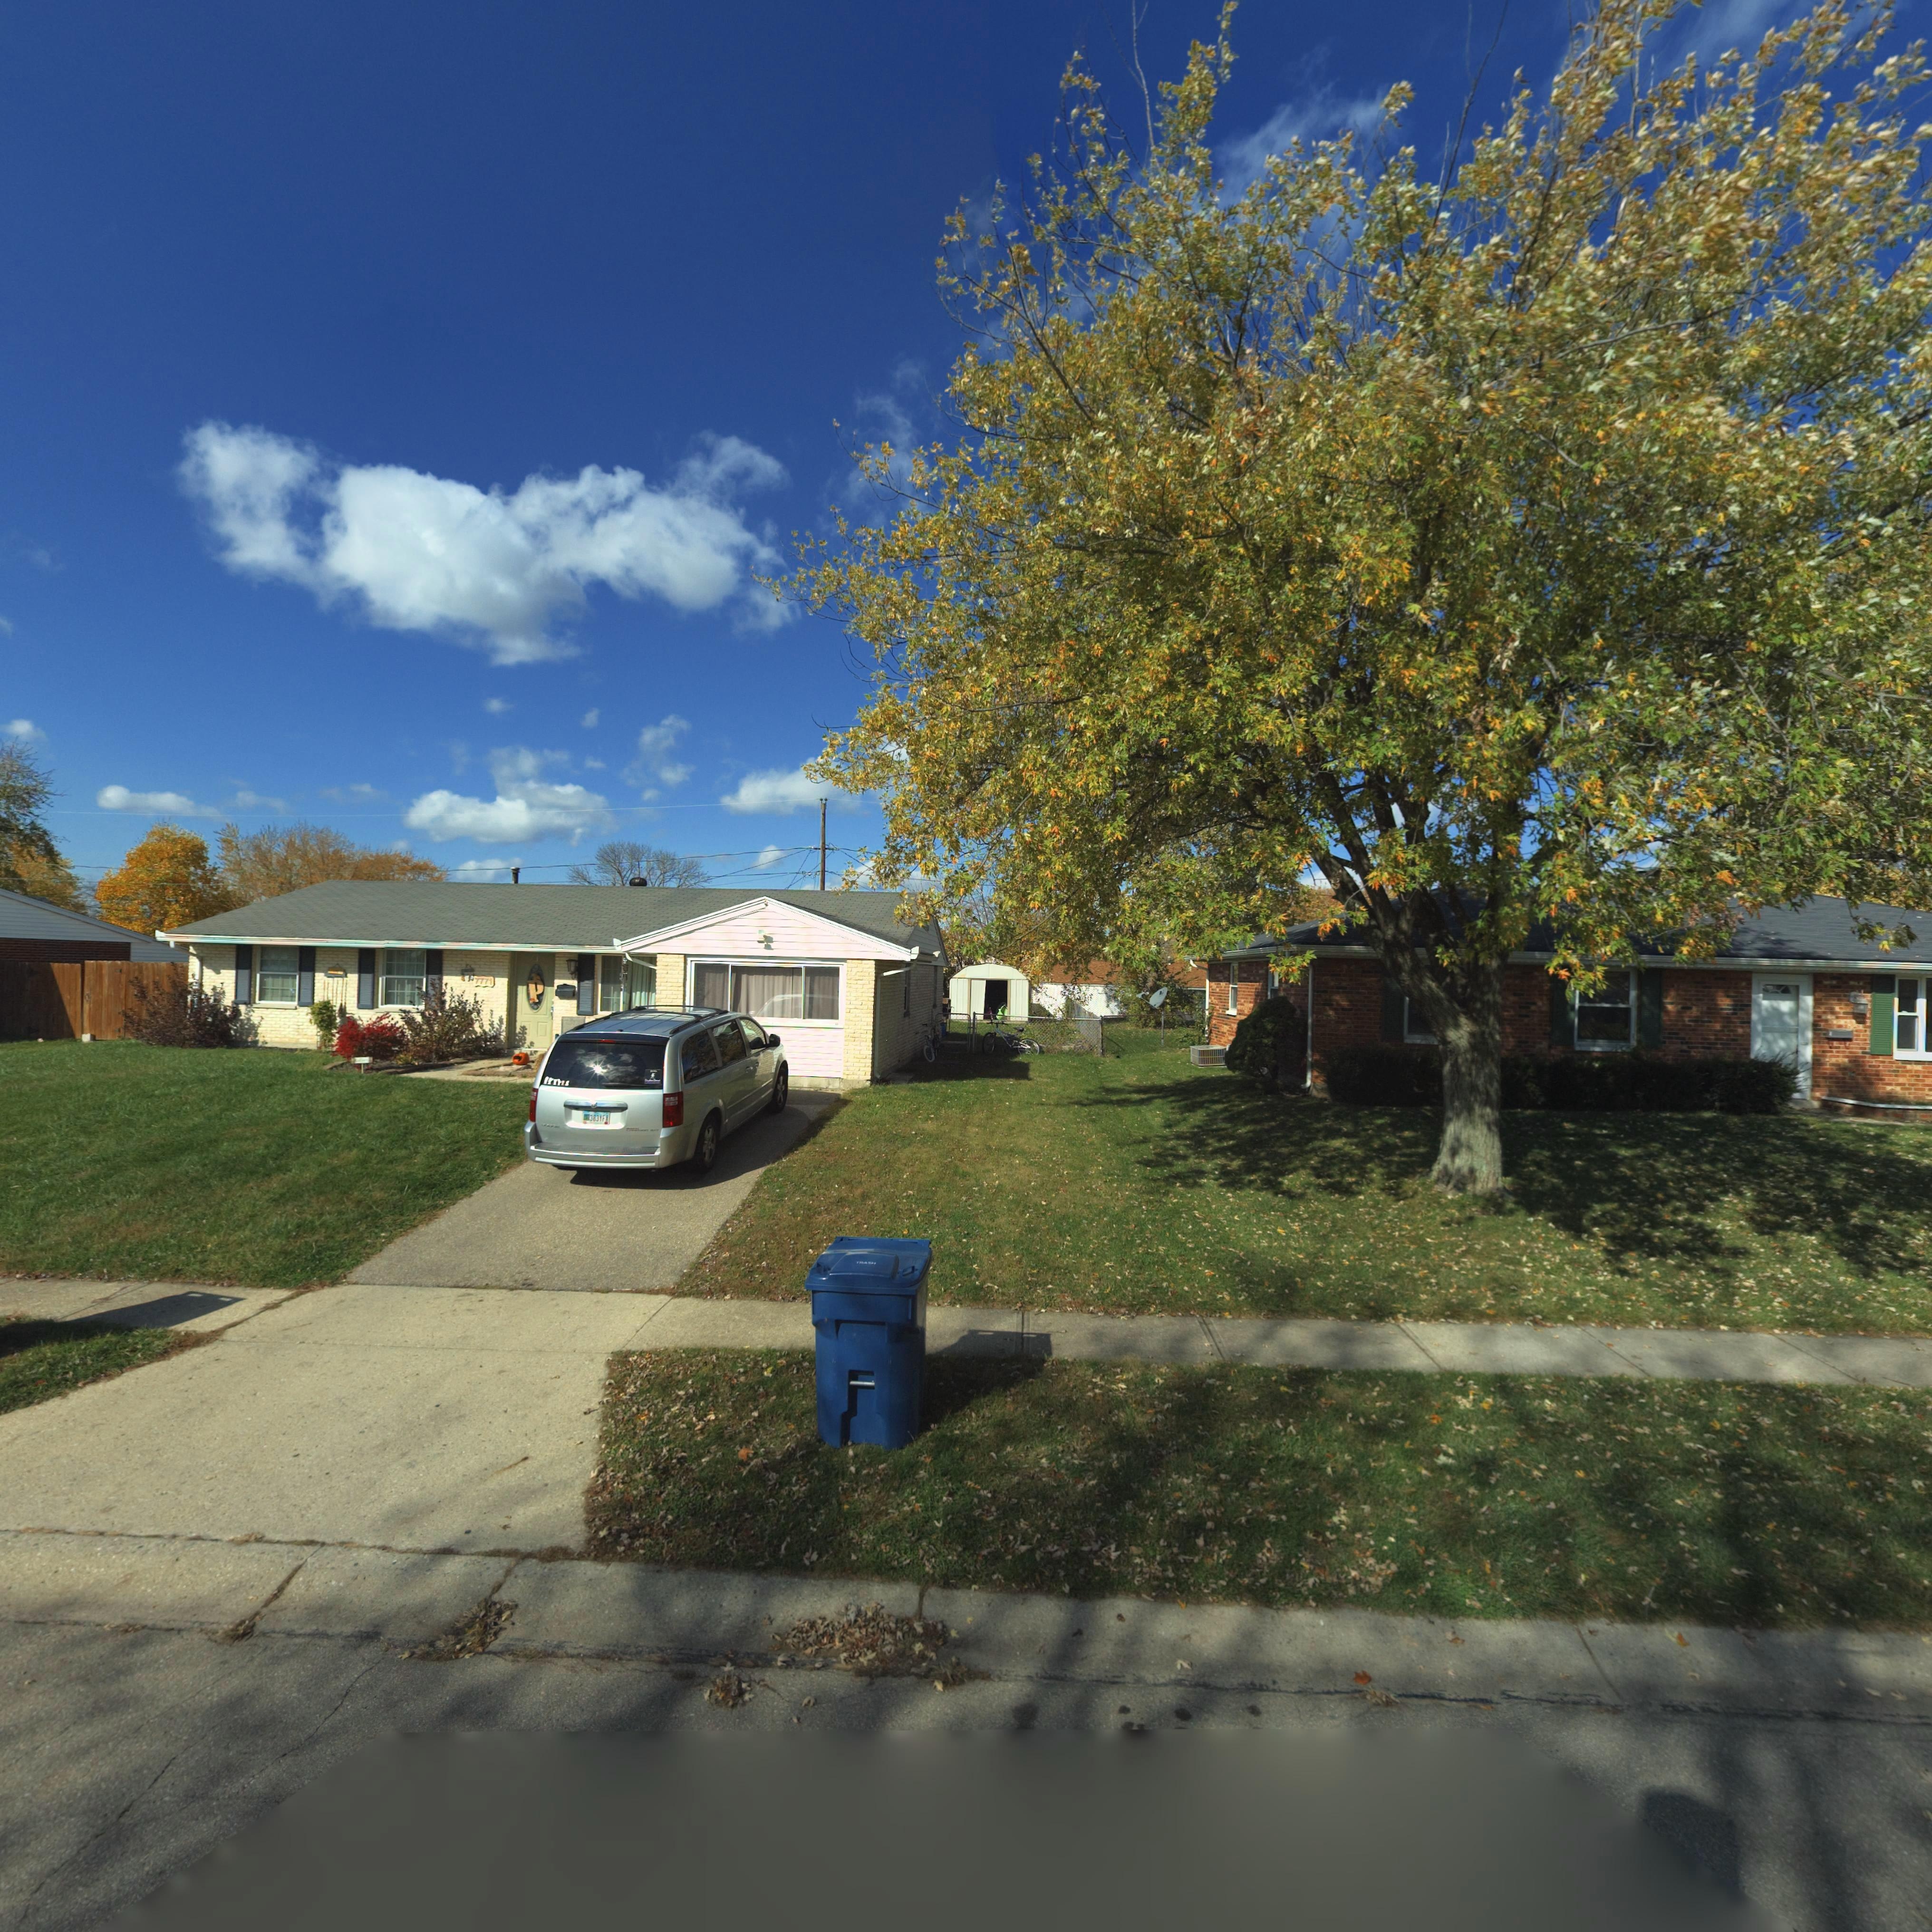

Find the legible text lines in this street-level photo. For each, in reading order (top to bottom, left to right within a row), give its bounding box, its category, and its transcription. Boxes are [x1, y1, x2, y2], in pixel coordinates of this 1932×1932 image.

[474, 977, 493, 985] StreetNumber: 7771